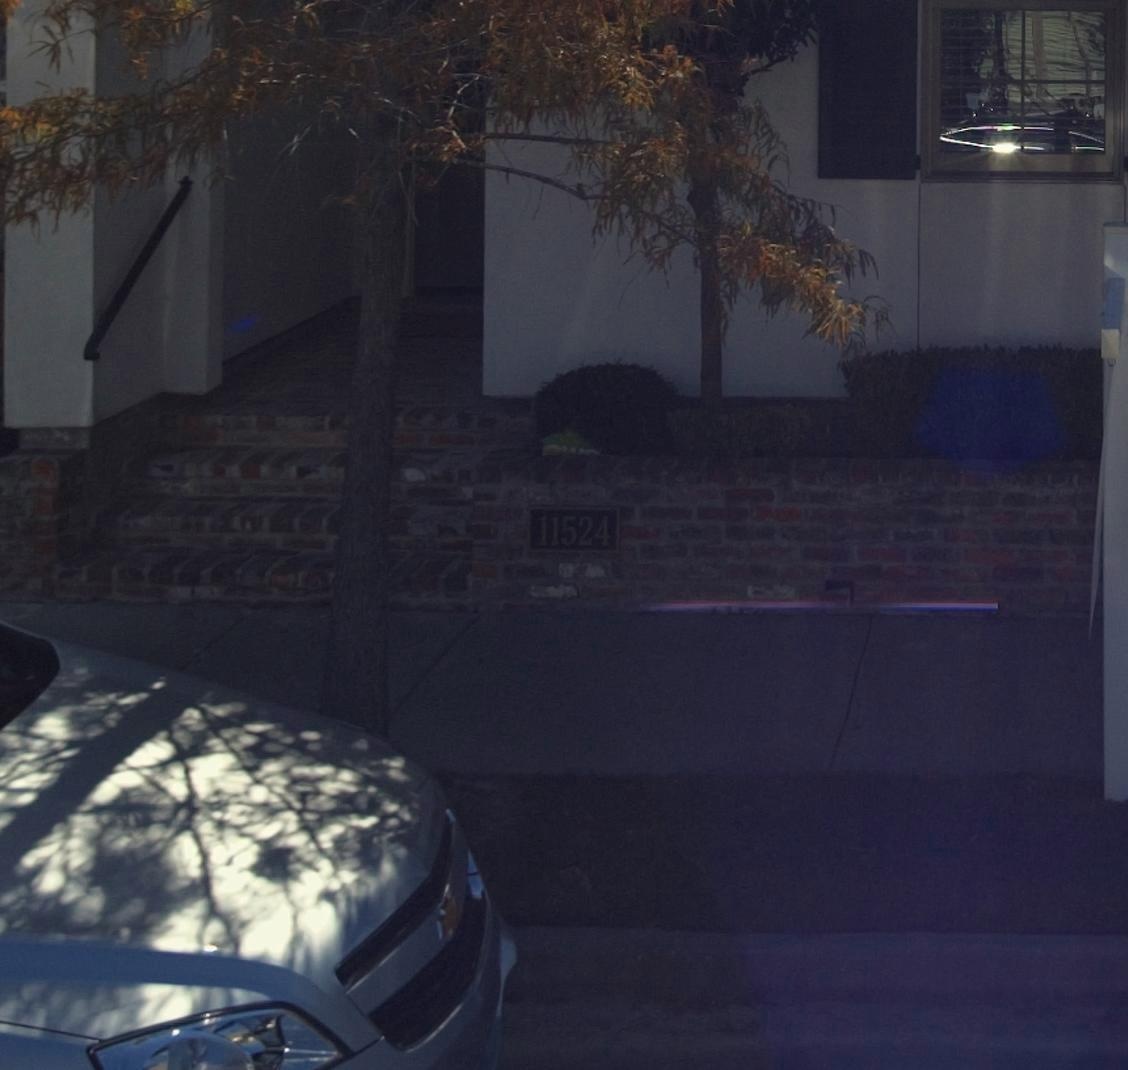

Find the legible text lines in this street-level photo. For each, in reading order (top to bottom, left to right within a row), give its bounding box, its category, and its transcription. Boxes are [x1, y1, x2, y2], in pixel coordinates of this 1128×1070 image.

[534, 515, 613, 548] StreetNumber: 11524